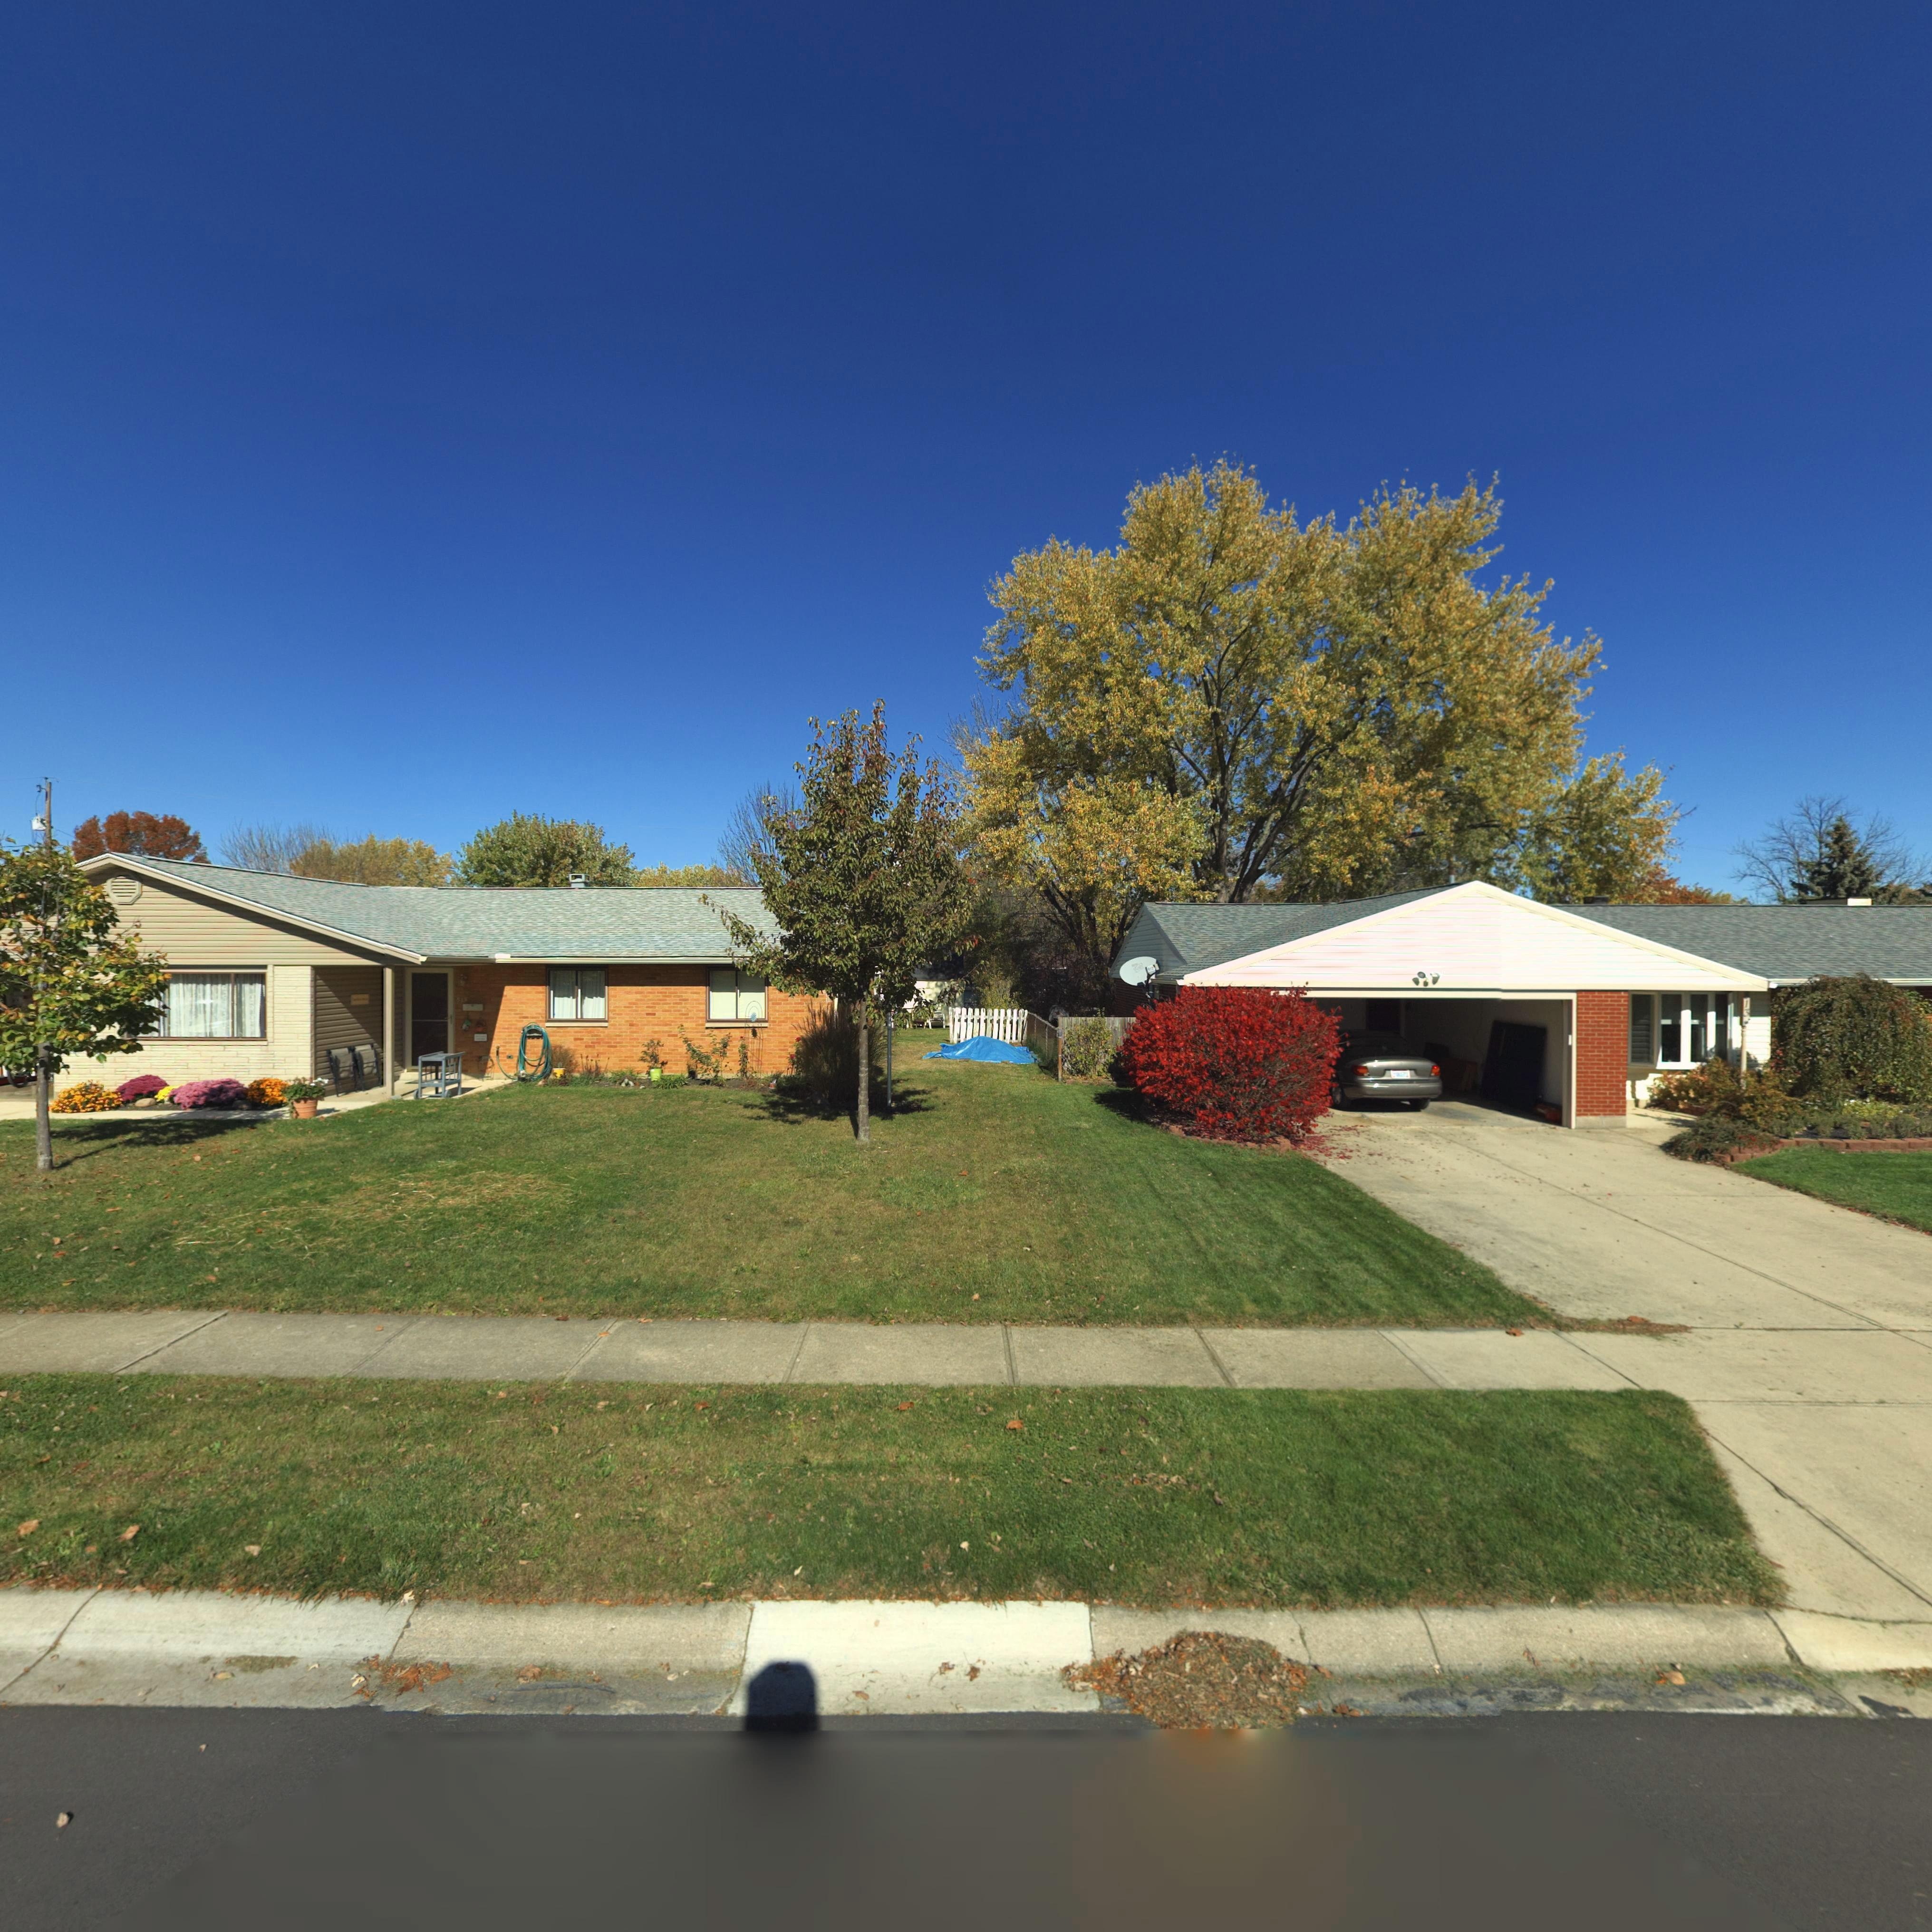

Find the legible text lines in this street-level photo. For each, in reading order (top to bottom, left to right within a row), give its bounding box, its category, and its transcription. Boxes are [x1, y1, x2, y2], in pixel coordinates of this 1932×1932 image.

[455, 996, 469, 1003] StreetNumber: 815
[1743, 1000, 1749, 1017] StreetNumber: 13